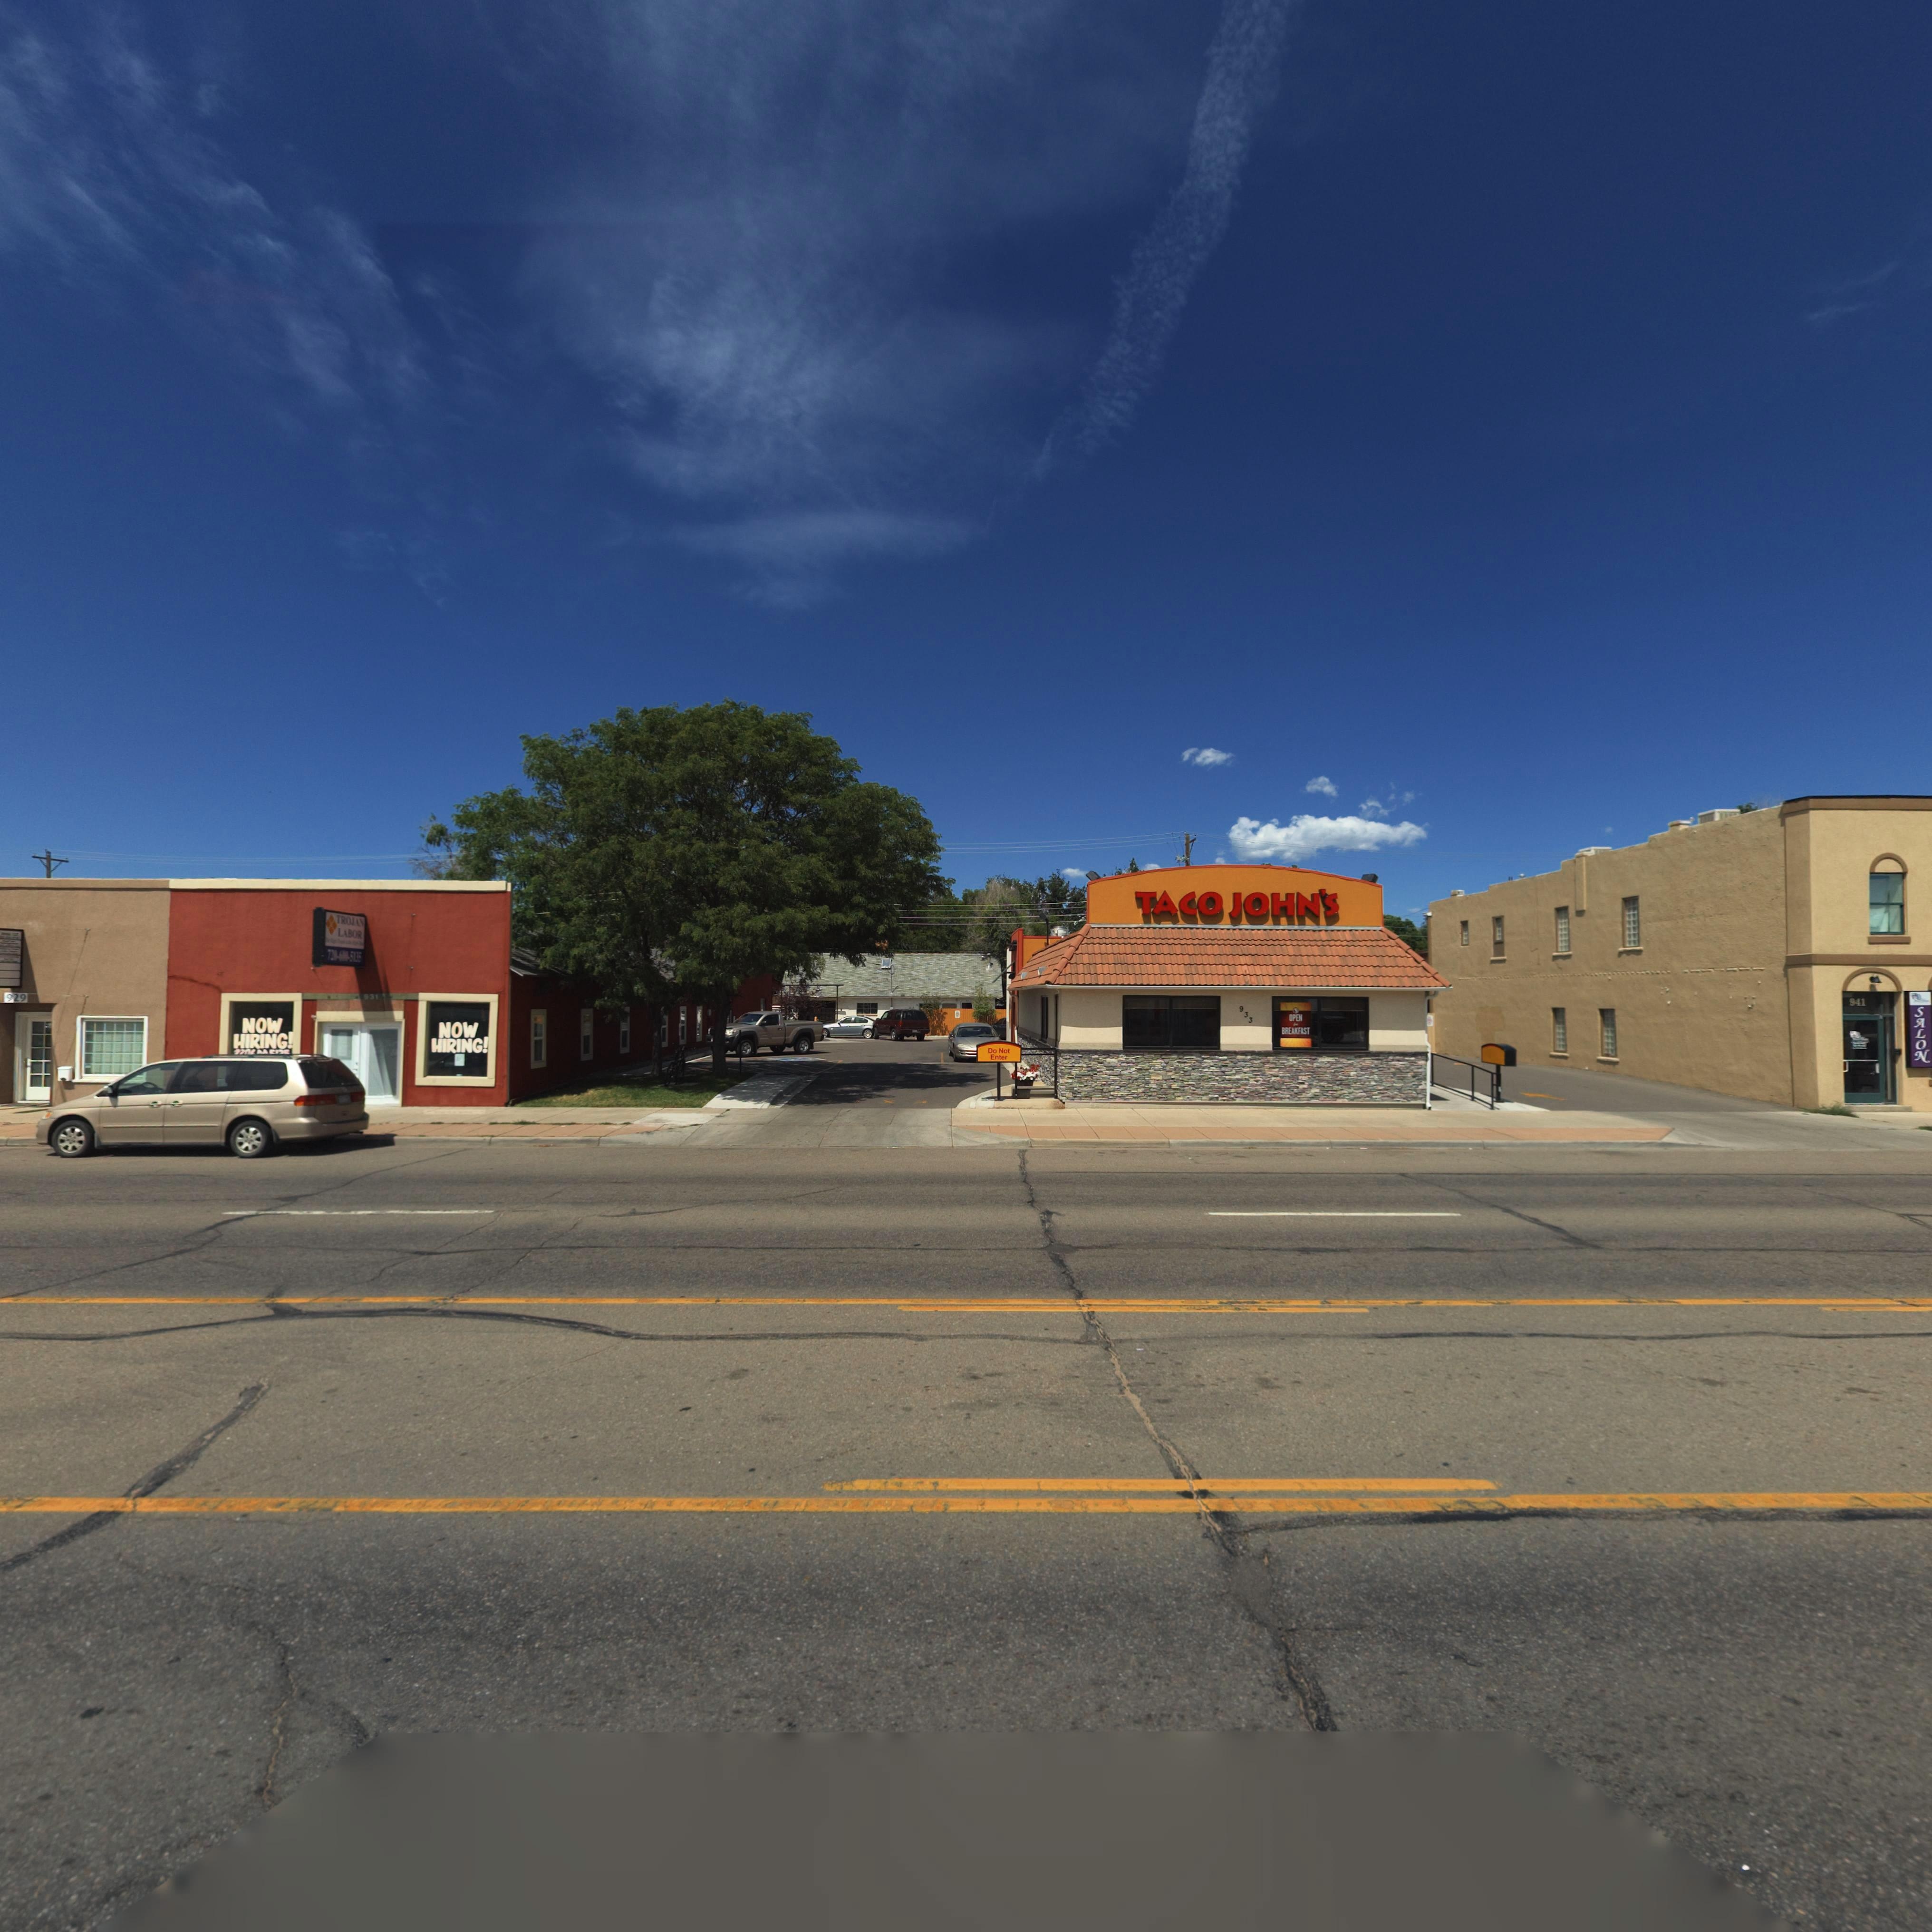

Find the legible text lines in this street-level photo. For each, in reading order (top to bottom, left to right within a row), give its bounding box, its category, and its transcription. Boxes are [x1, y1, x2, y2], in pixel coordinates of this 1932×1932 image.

[1135, 888, 1340, 918] BusinessName: TACO JOHN'S
[337, 914, 363, 926] BusinessName: TROJAN
[338, 927, 362, 938] BusinessName: LABOR
[7, 994, 26, 1002] StreetNumber: 929
[363, 993, 380, 1000] StreetNumber: 931
[1849, 998, 1865, 1006] StreetNumber: 941
[1239, 1005, 1253, 1023] StreetNumber: 933